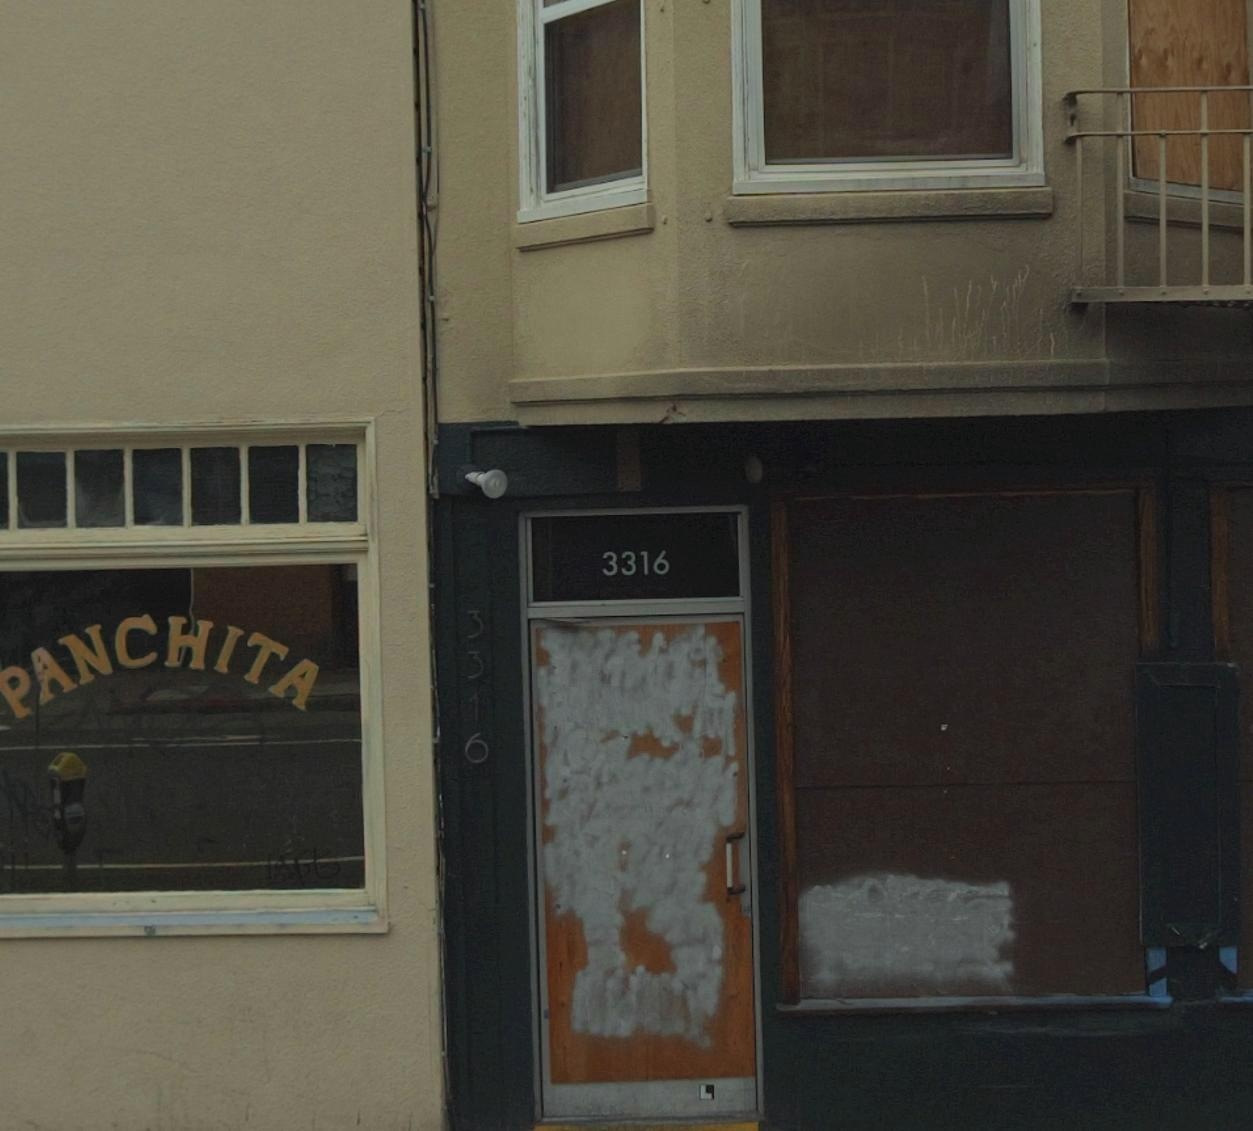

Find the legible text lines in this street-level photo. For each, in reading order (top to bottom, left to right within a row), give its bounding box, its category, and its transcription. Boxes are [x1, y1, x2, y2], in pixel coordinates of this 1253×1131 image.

[600, 549, 671, 577] StreetNumber: 3316
[25, 609, 325, 714] None: ANCHITA
[462, 606, 491, 769] StreetNumber: 3316